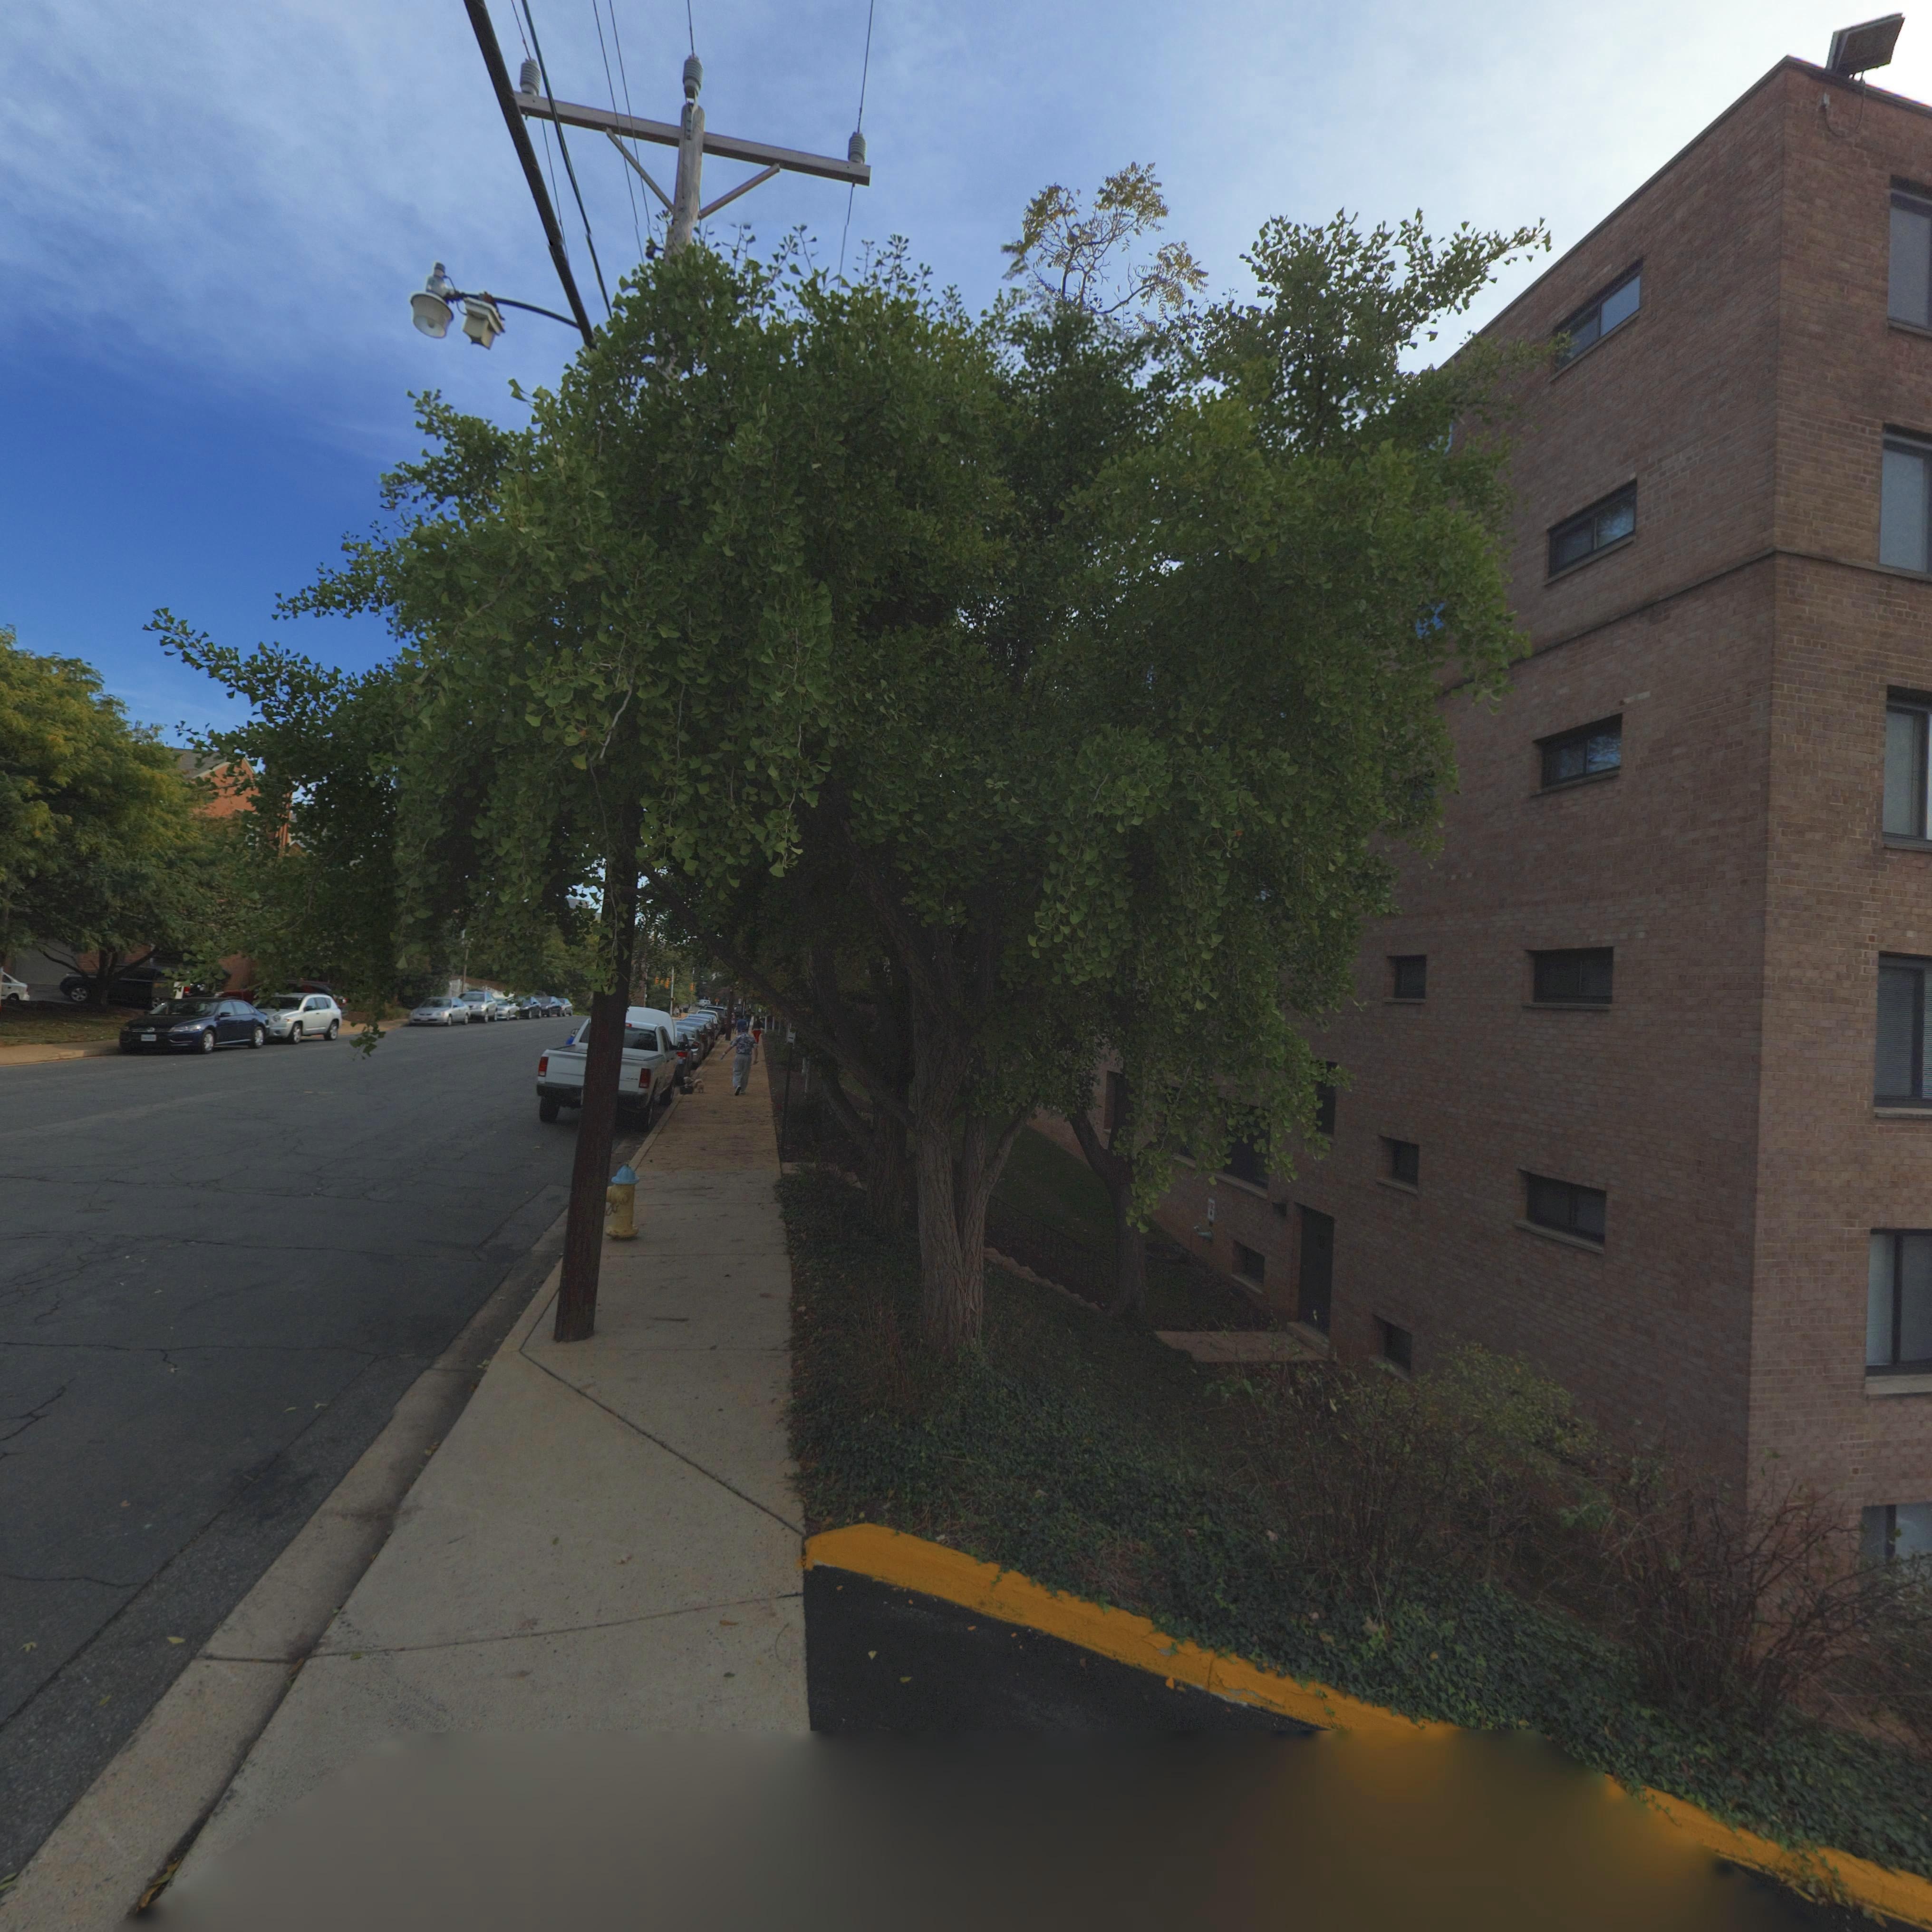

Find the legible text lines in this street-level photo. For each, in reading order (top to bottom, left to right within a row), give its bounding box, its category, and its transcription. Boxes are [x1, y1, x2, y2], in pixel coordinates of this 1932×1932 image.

[625, 1076, 638, 1081] None: 4x4